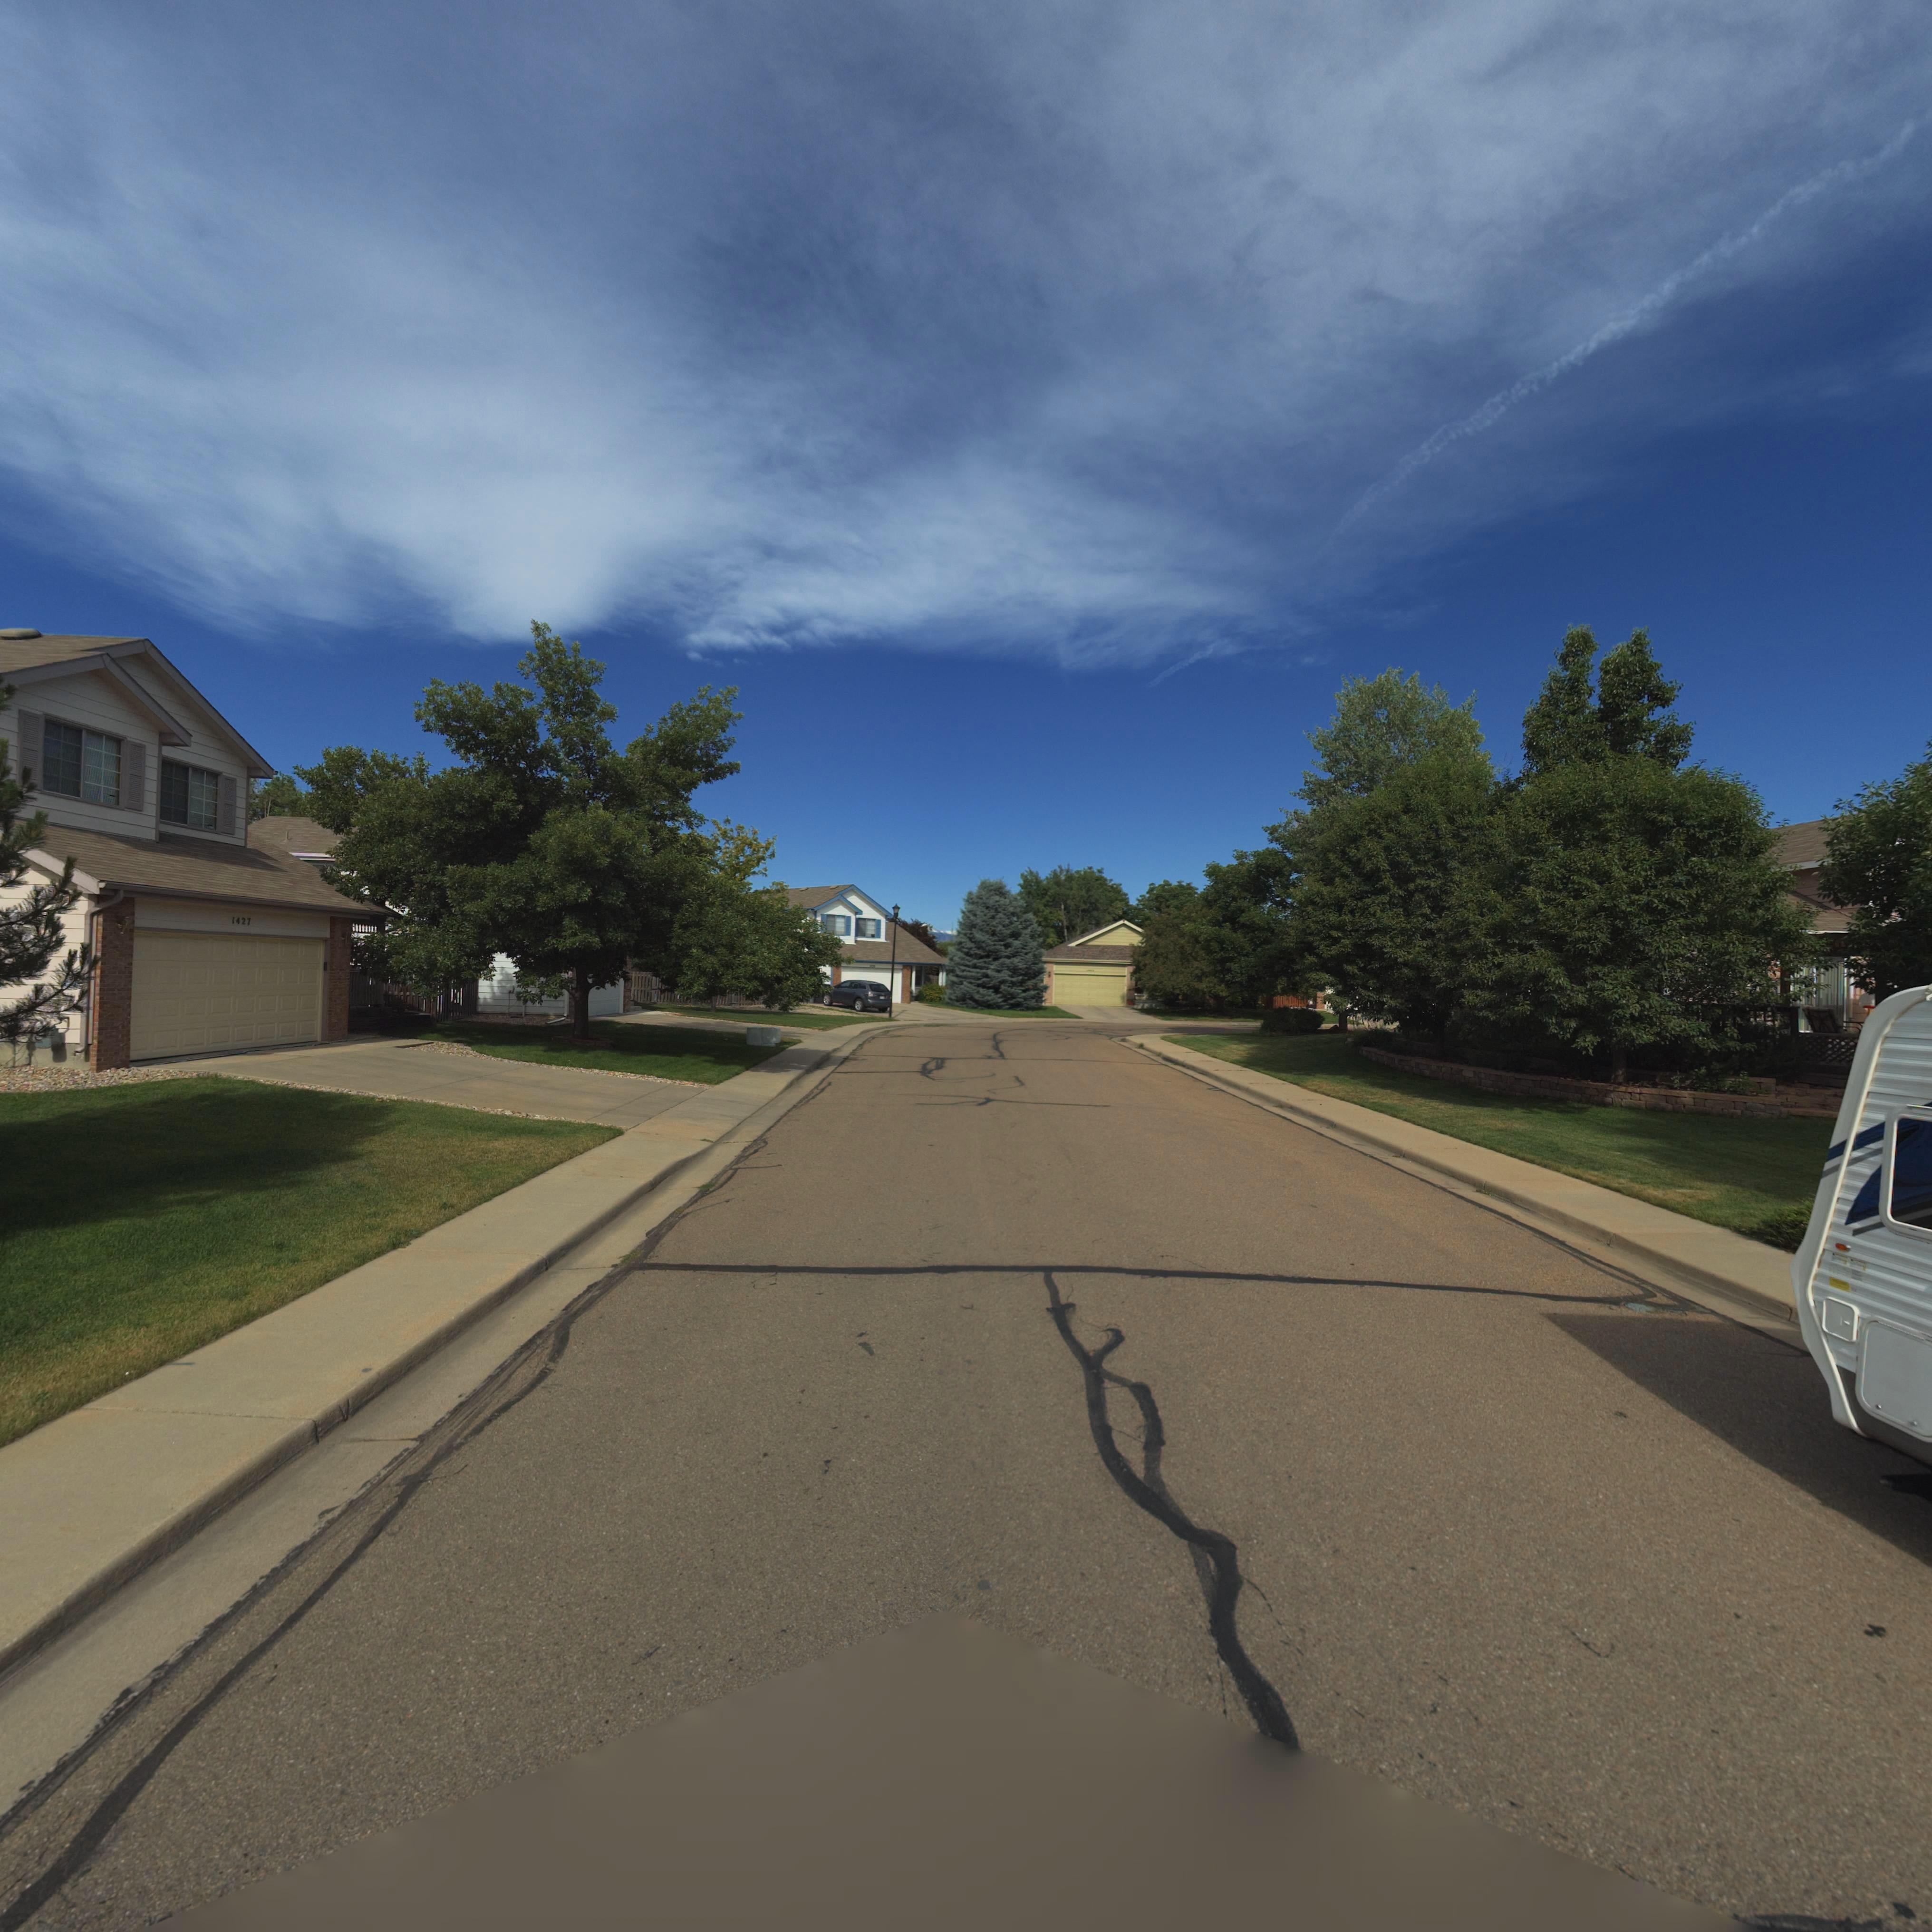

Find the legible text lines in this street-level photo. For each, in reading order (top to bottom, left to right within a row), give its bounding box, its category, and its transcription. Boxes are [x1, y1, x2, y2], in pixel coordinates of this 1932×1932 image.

[231, 916, 251, 926] StreetNumber: 1427